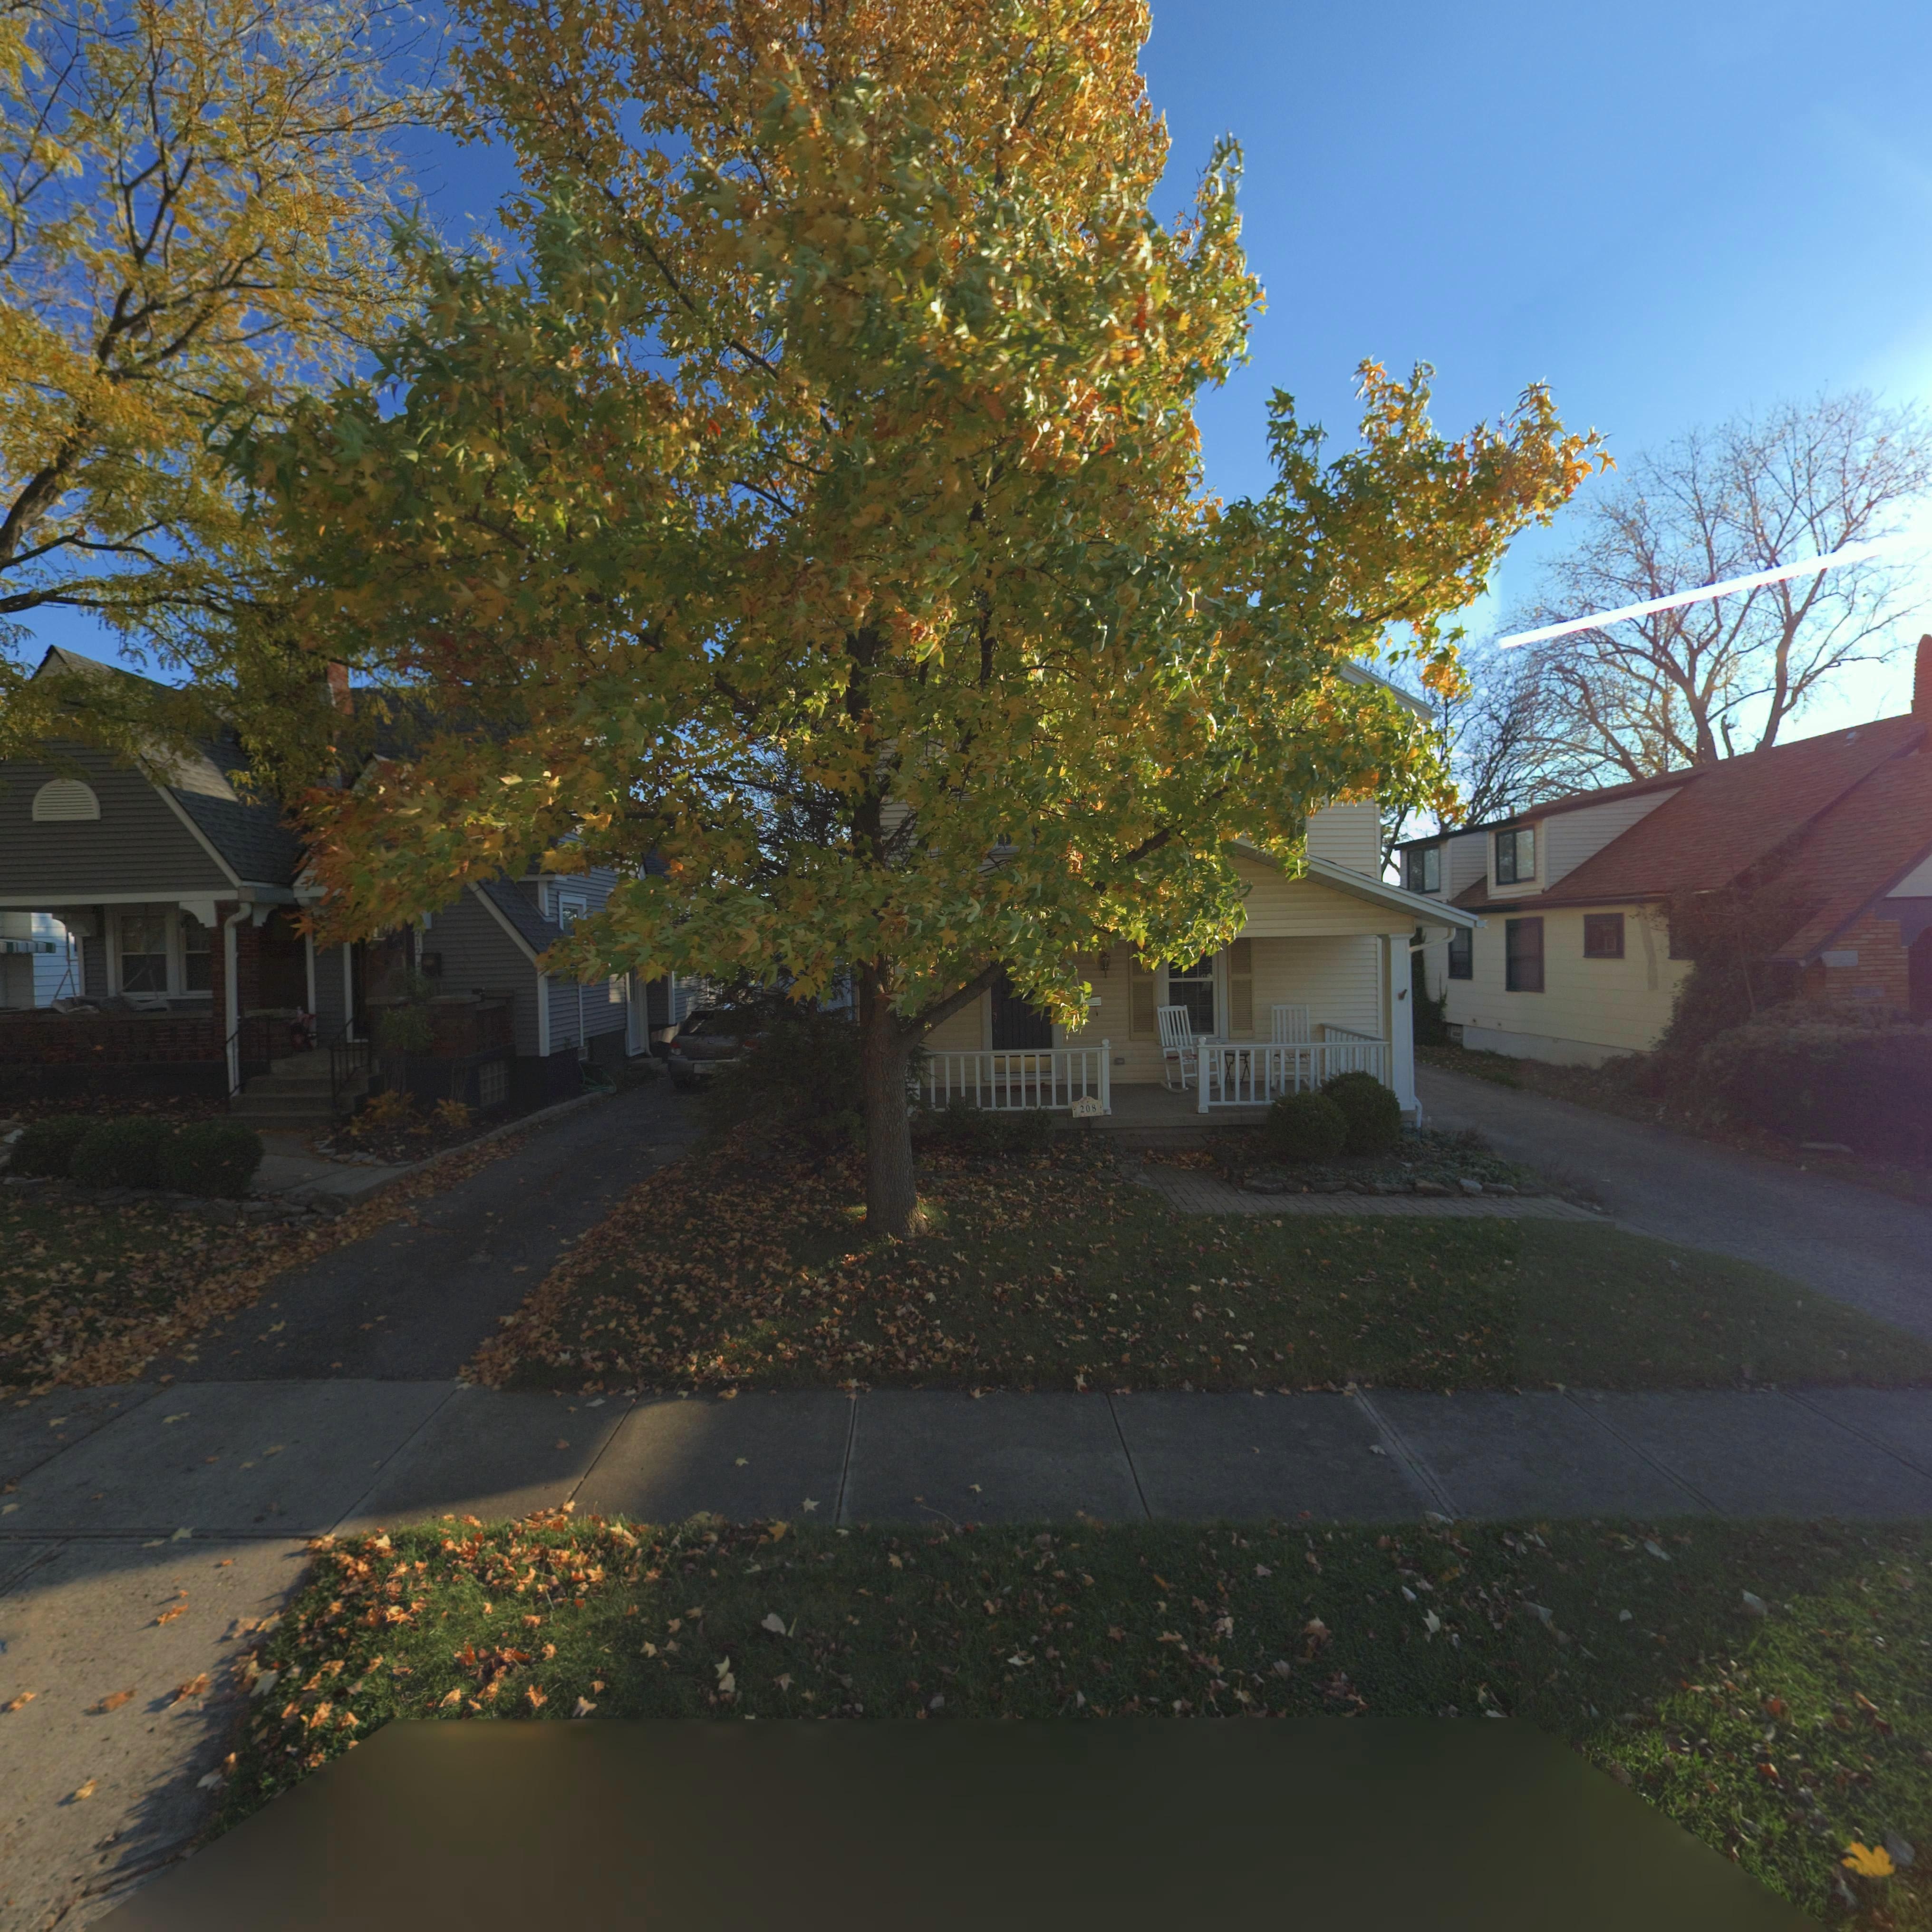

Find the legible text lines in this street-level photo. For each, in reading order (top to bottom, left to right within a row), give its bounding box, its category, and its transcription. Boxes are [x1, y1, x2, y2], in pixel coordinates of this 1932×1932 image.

[414, 927, 423, 956] StreetNumber: 212
[1078, 1103, 1098, 1114] StreetNumber: 208